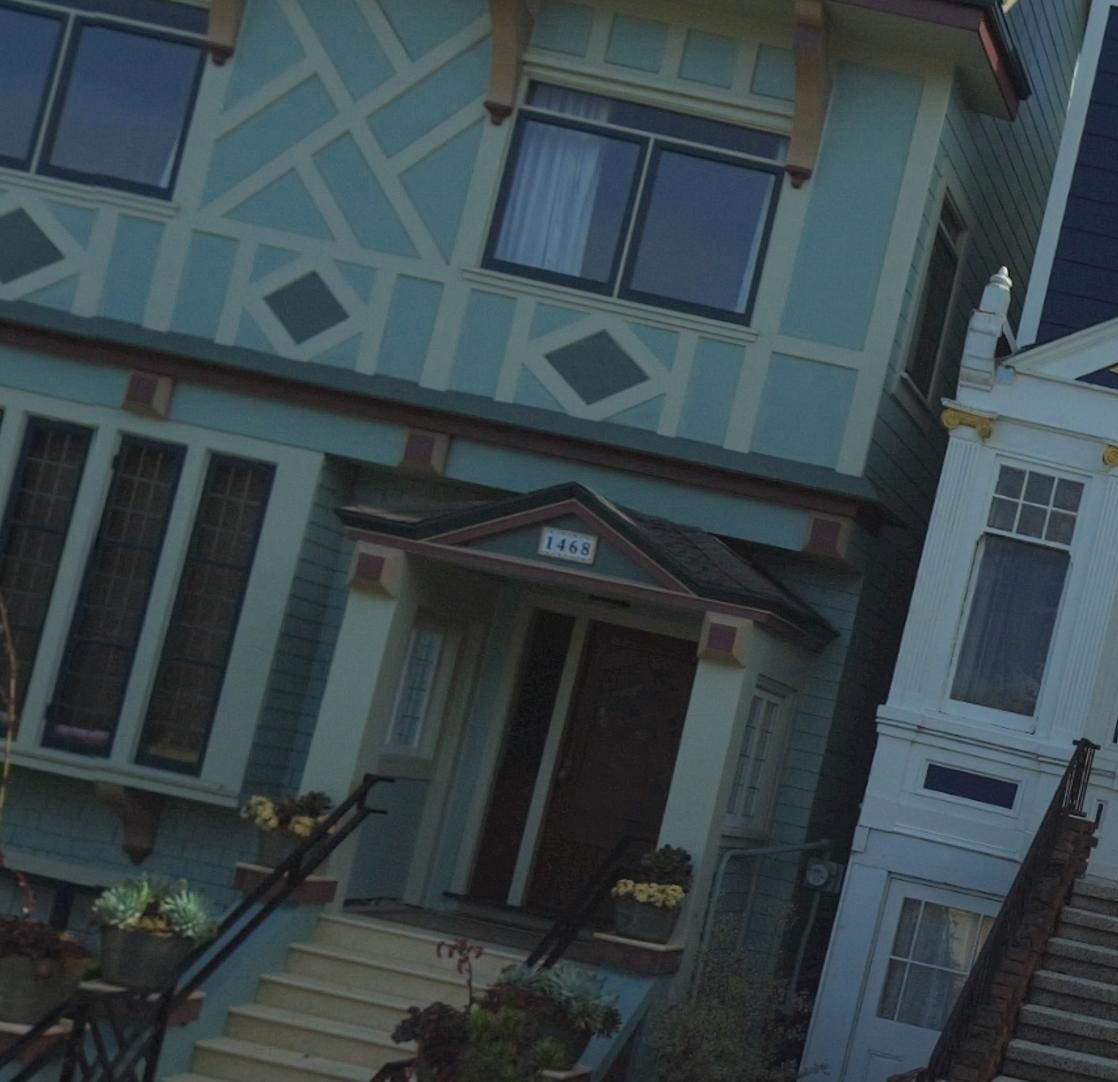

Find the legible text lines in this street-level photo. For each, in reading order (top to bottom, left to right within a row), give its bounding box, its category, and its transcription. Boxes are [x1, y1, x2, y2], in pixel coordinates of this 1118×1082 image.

[543, 532, 594, 559] StreetNumber: 1468